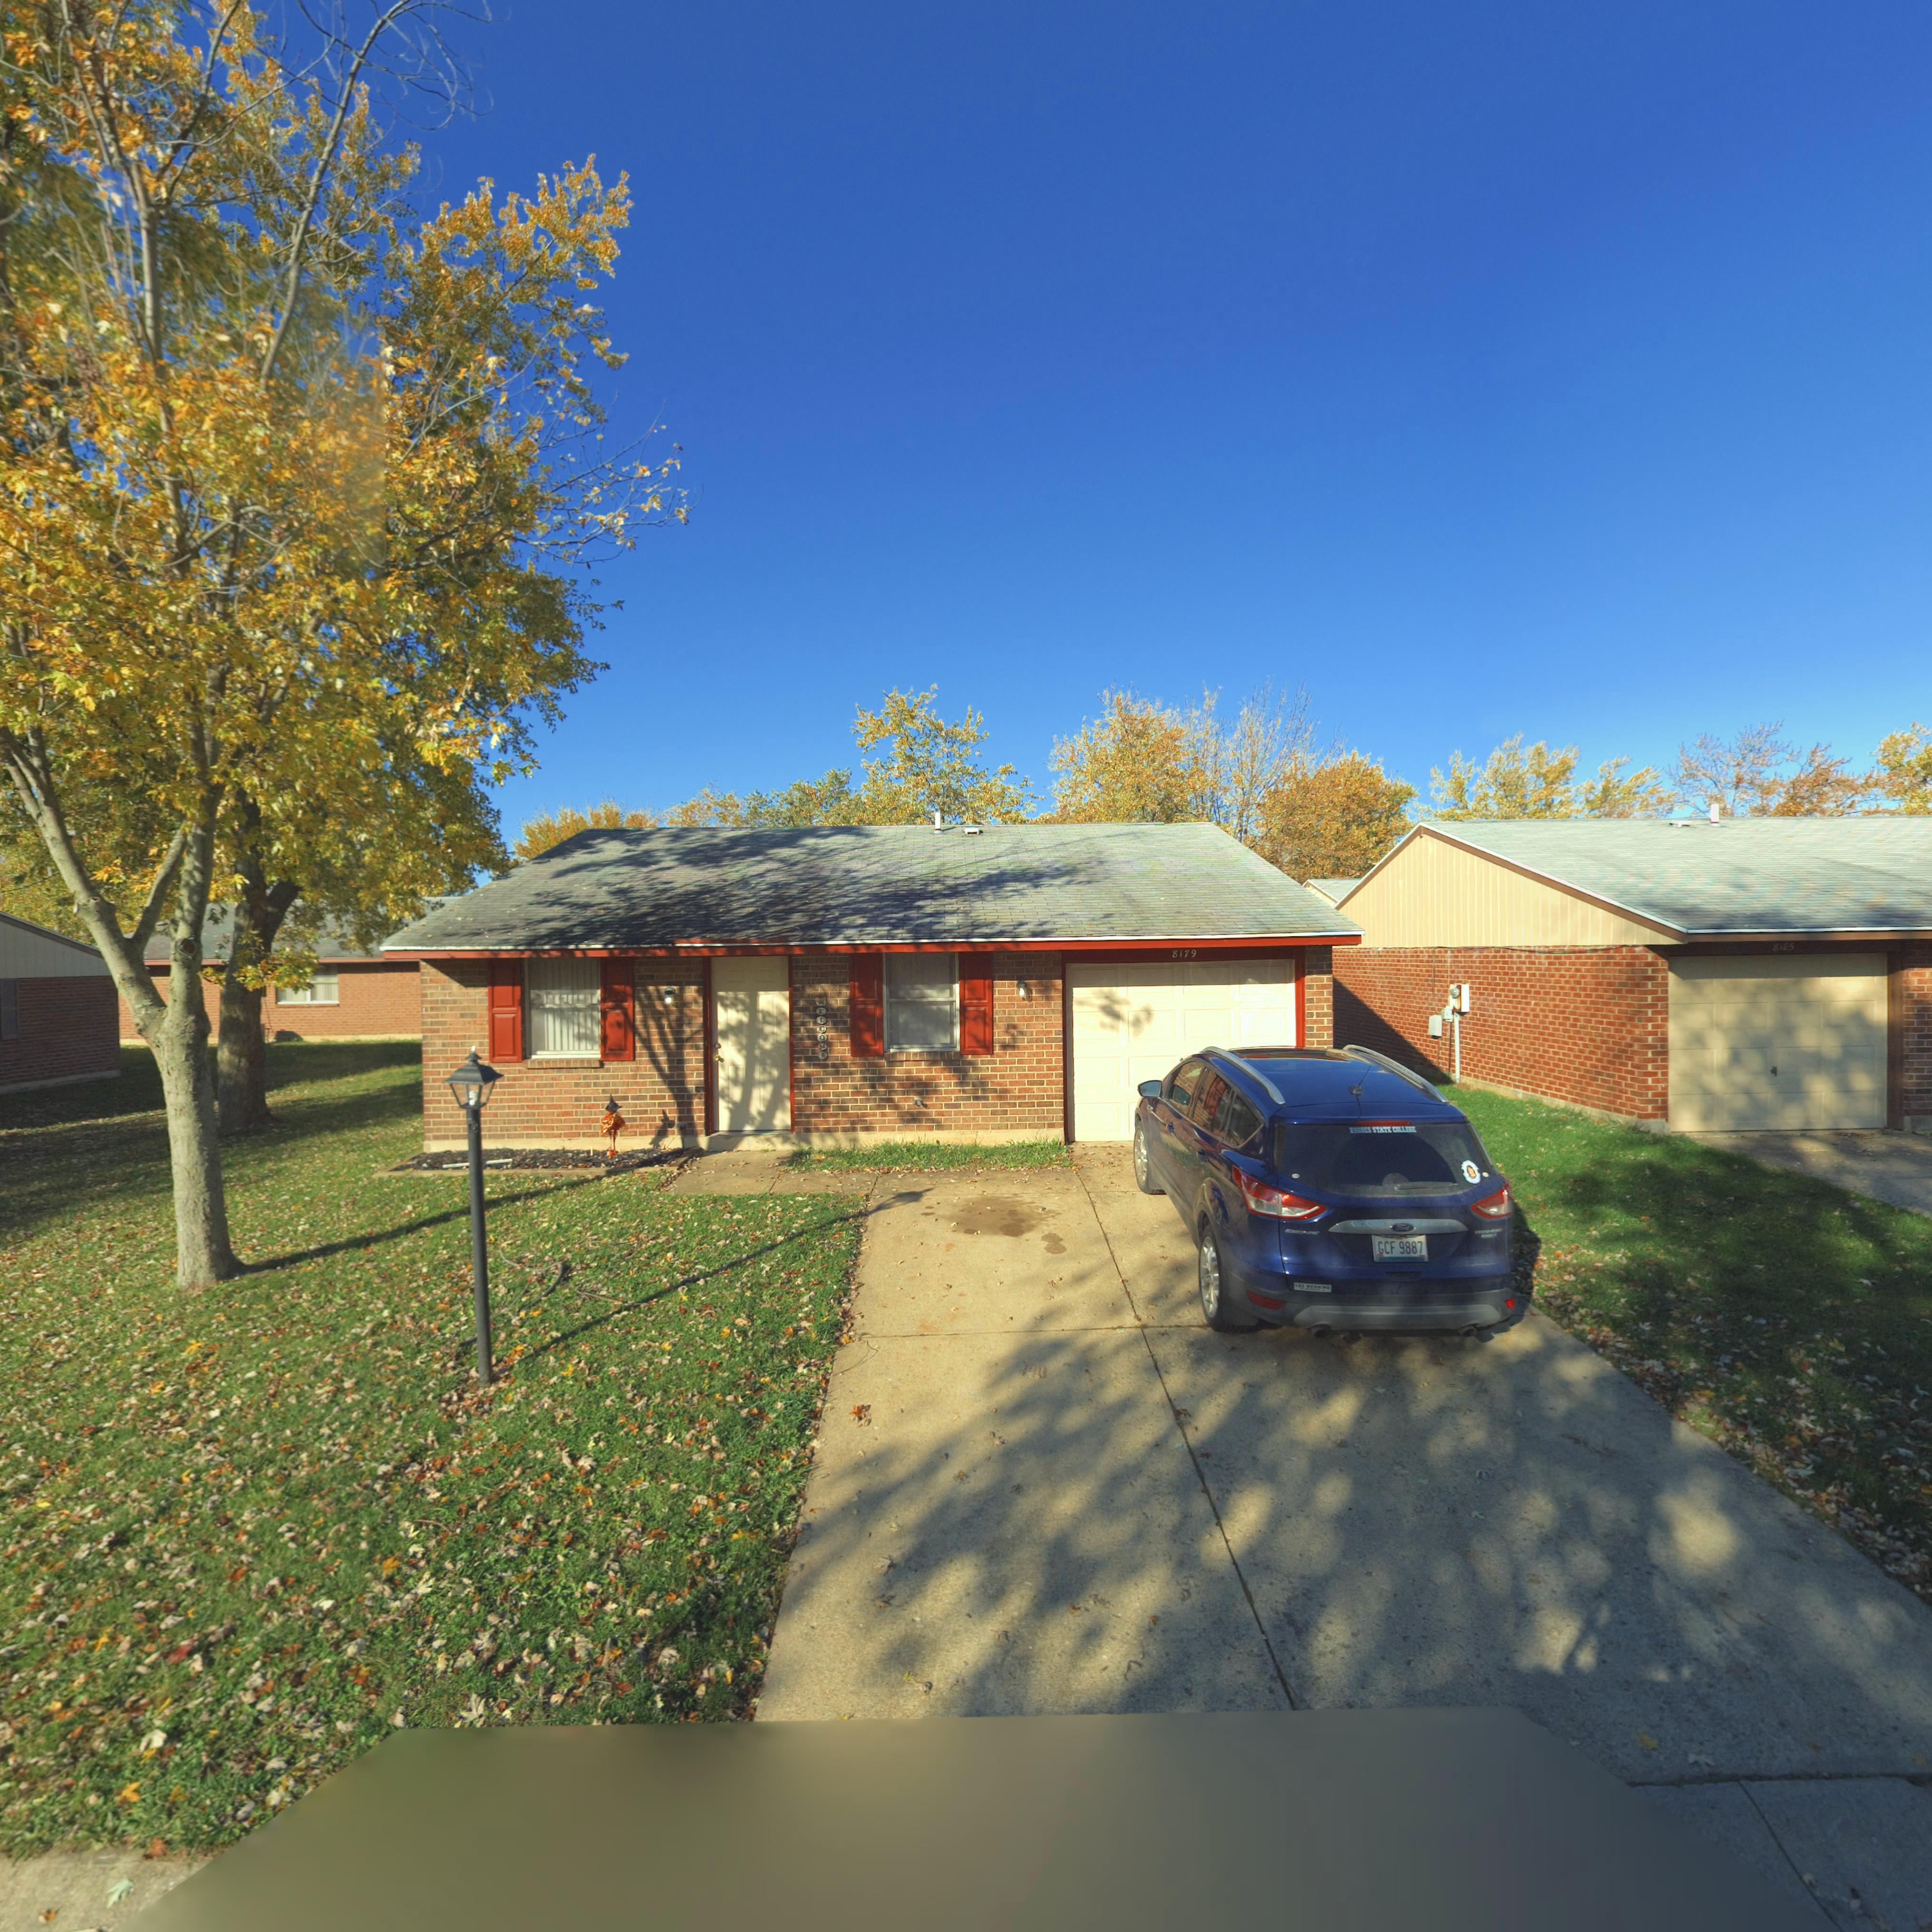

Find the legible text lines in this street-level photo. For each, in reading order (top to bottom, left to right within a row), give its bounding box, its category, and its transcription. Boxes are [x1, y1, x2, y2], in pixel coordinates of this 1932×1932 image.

[1771, 941, 1796, 953] StreetNumber: 8185
[1171, 948, 1198, 960] StreetNumber: 8179